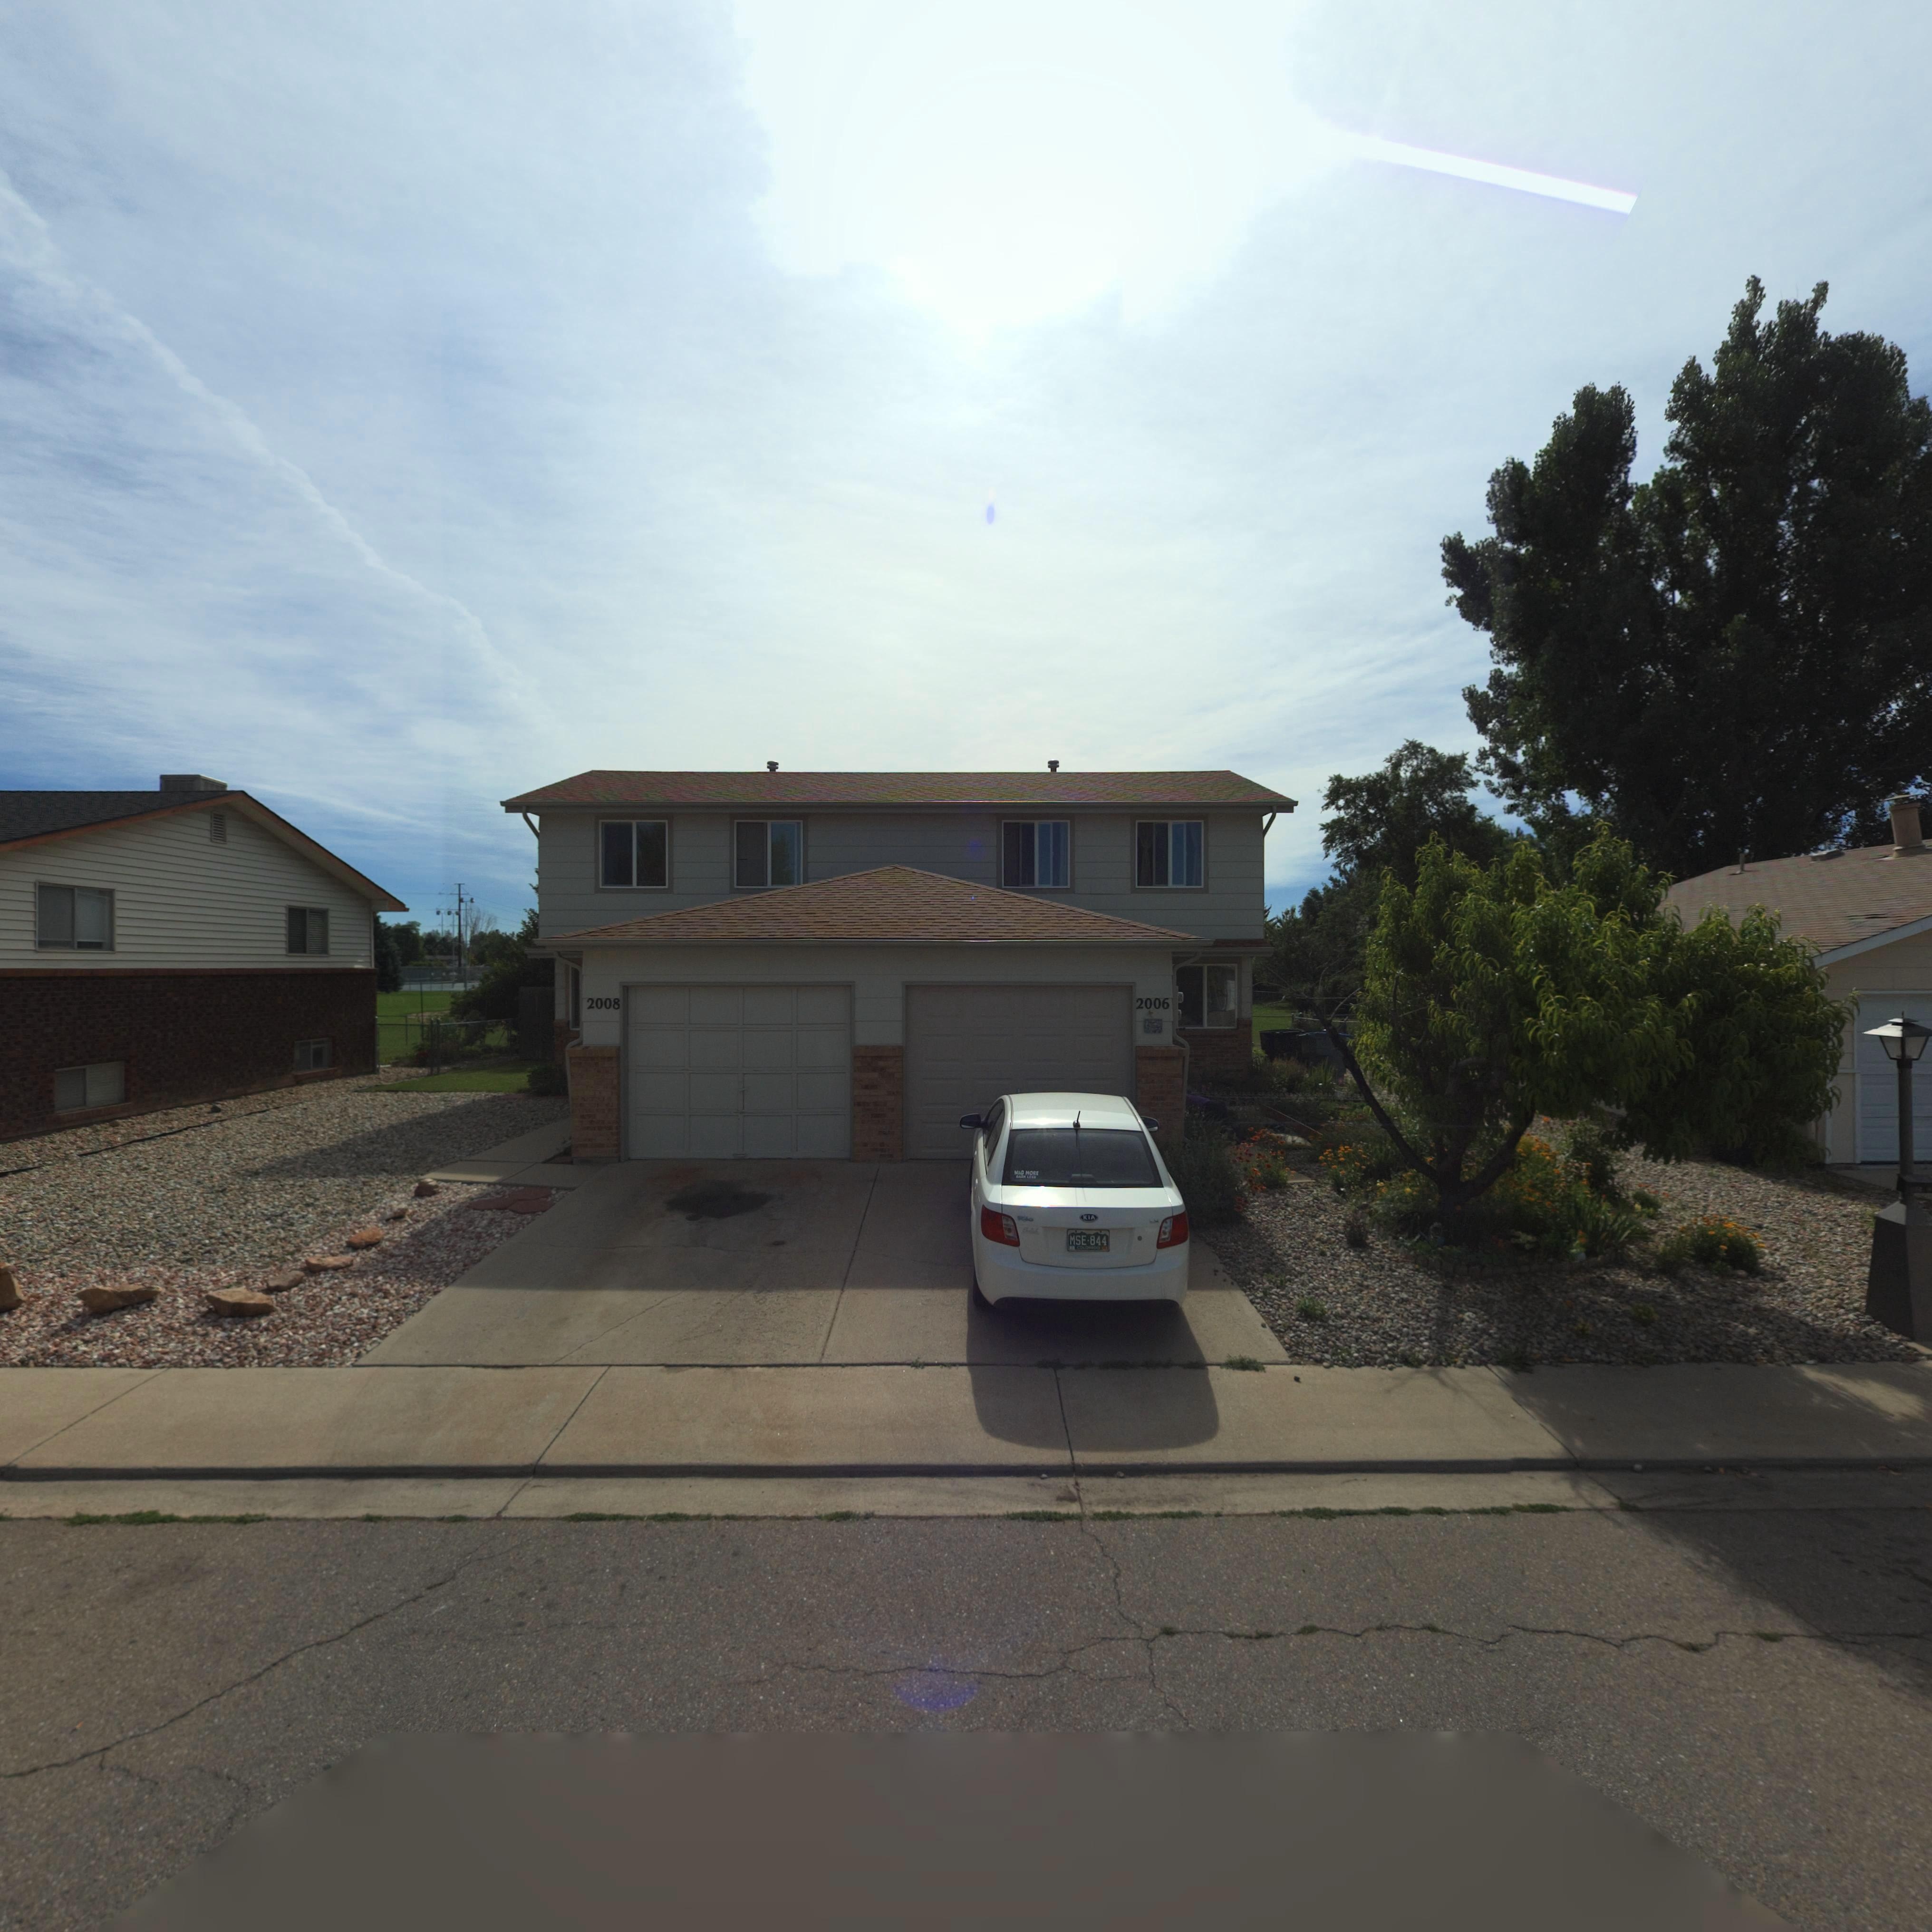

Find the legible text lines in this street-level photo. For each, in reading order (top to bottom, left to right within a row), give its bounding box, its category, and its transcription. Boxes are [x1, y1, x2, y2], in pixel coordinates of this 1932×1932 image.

[587, 997, 620, 1010] StreetNumber: 2008
[1135, 997, 1170, 1010] StreetNumber: 2006